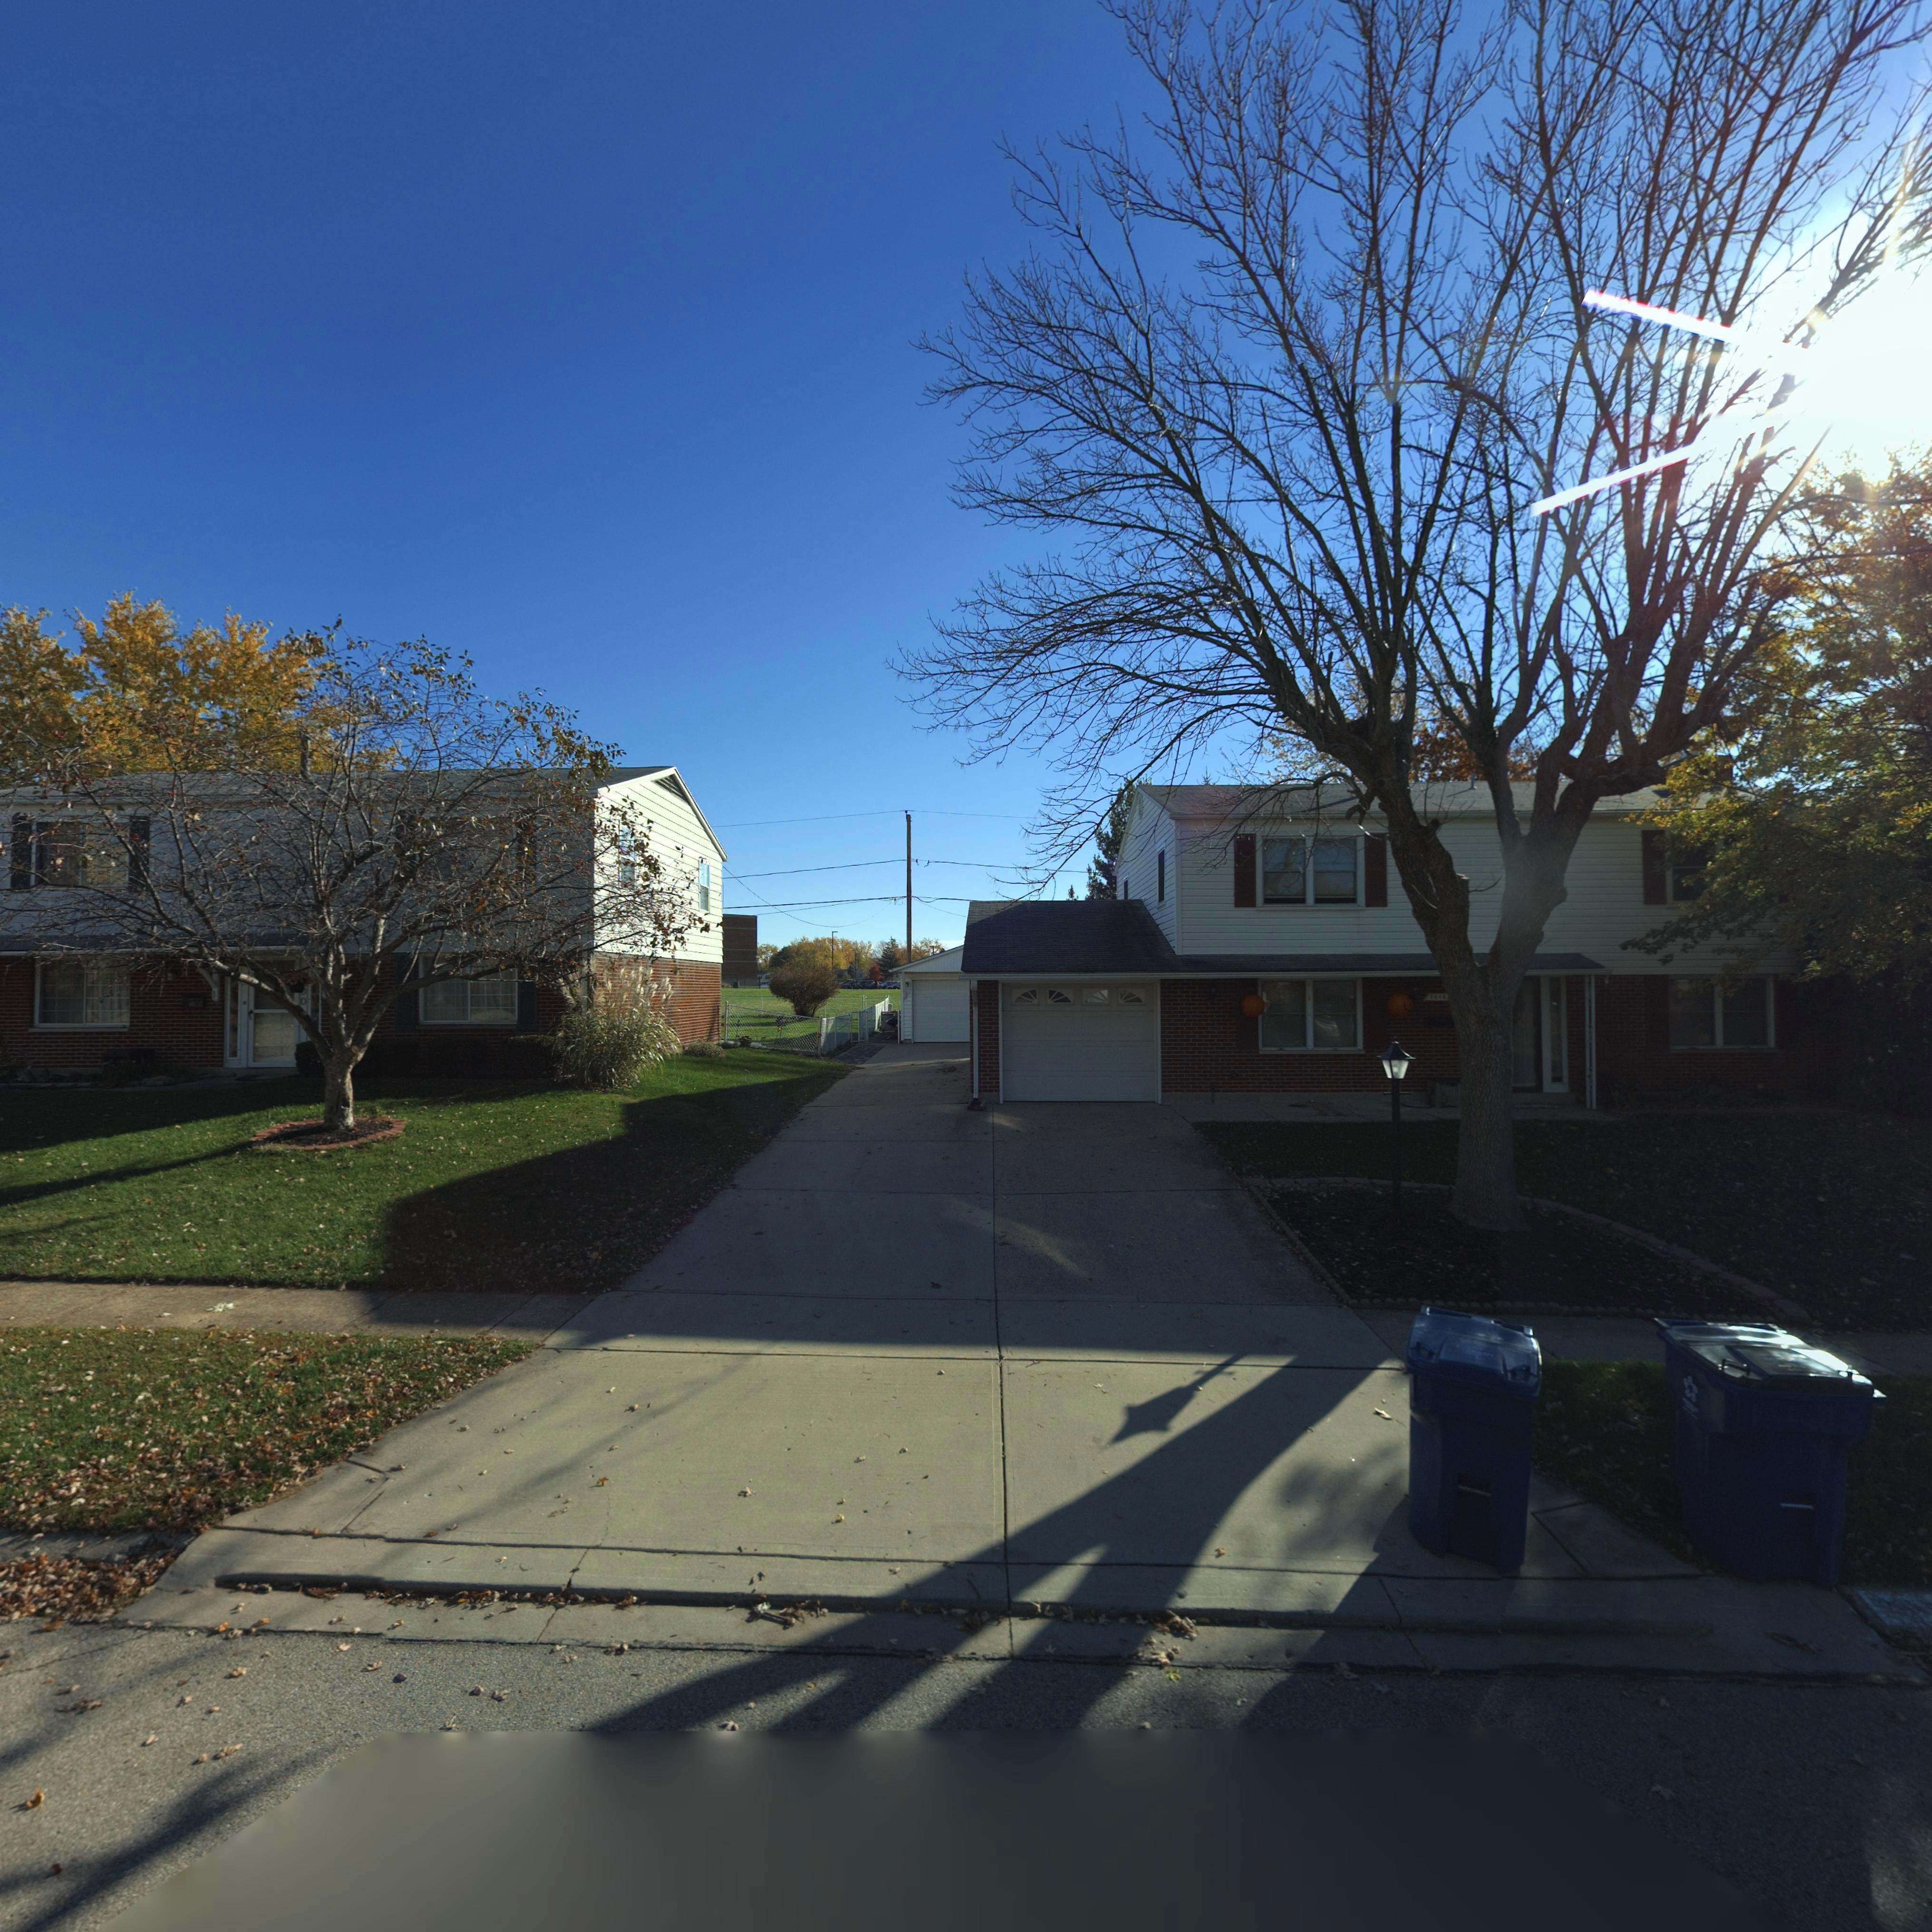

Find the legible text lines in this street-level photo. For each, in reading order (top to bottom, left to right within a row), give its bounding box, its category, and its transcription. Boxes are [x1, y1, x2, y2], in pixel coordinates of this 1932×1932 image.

[1429, 994, 1447, 1000] StreetNumber: 76**
[300, 997, 307, 1005] StreetNumber: 0